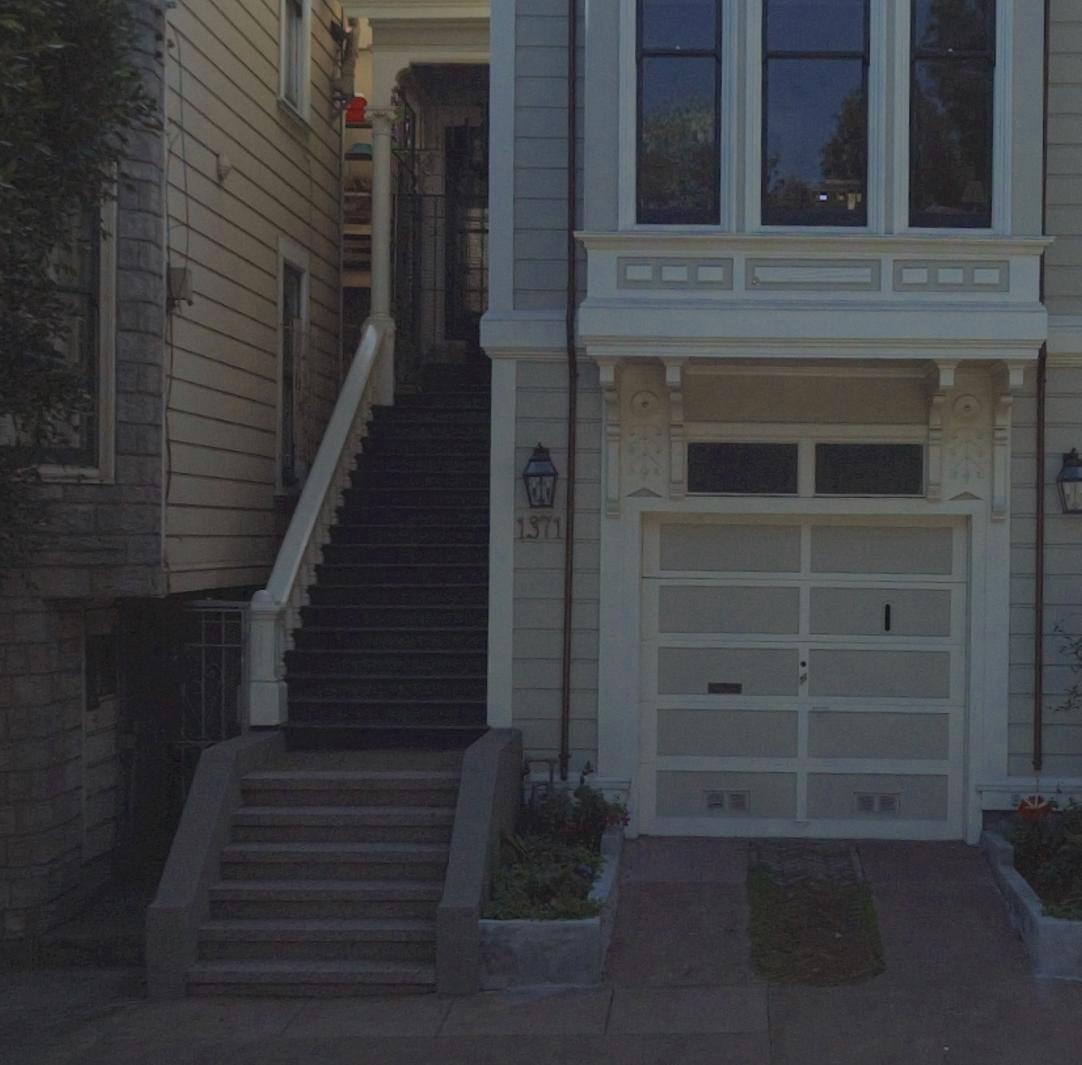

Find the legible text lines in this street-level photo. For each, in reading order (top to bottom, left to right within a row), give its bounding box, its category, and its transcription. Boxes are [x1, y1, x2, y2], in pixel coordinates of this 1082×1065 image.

[514, 513, 566, 541] StreetNumber: 1371